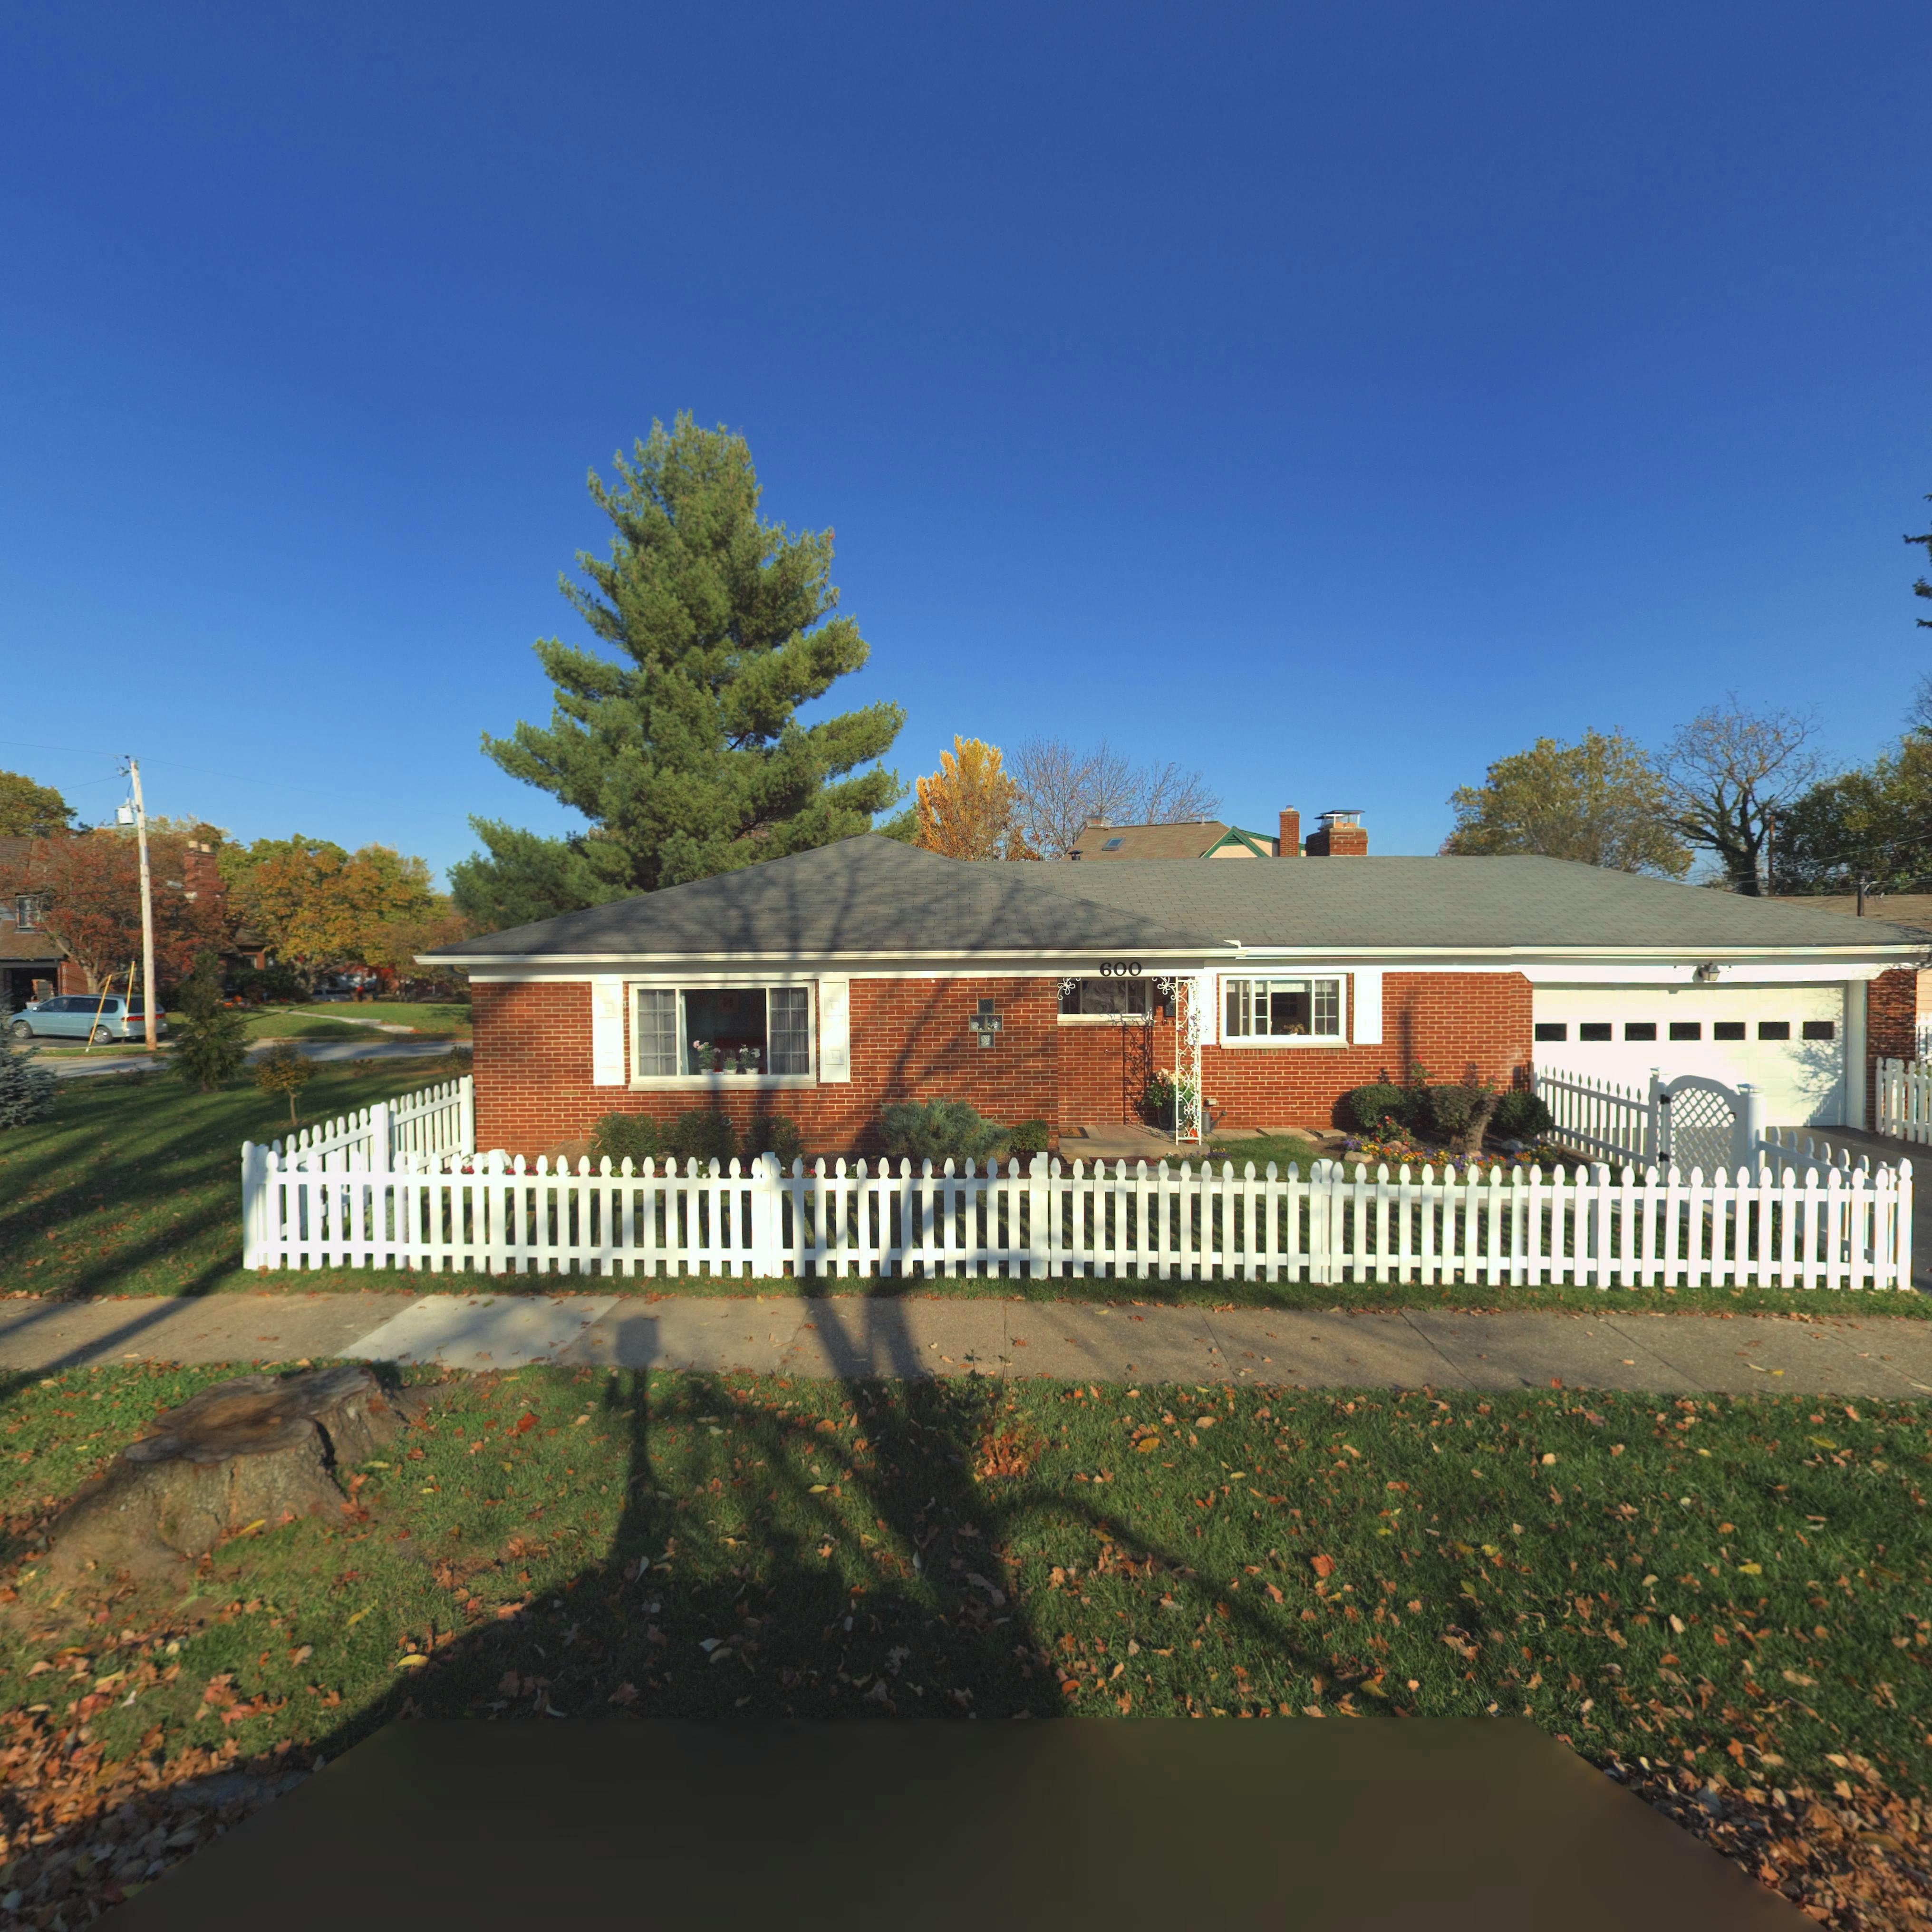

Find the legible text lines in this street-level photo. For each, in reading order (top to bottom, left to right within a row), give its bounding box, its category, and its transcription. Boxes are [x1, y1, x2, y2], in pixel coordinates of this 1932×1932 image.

[1099, 961, 1142, 977] StreetNumber: 600